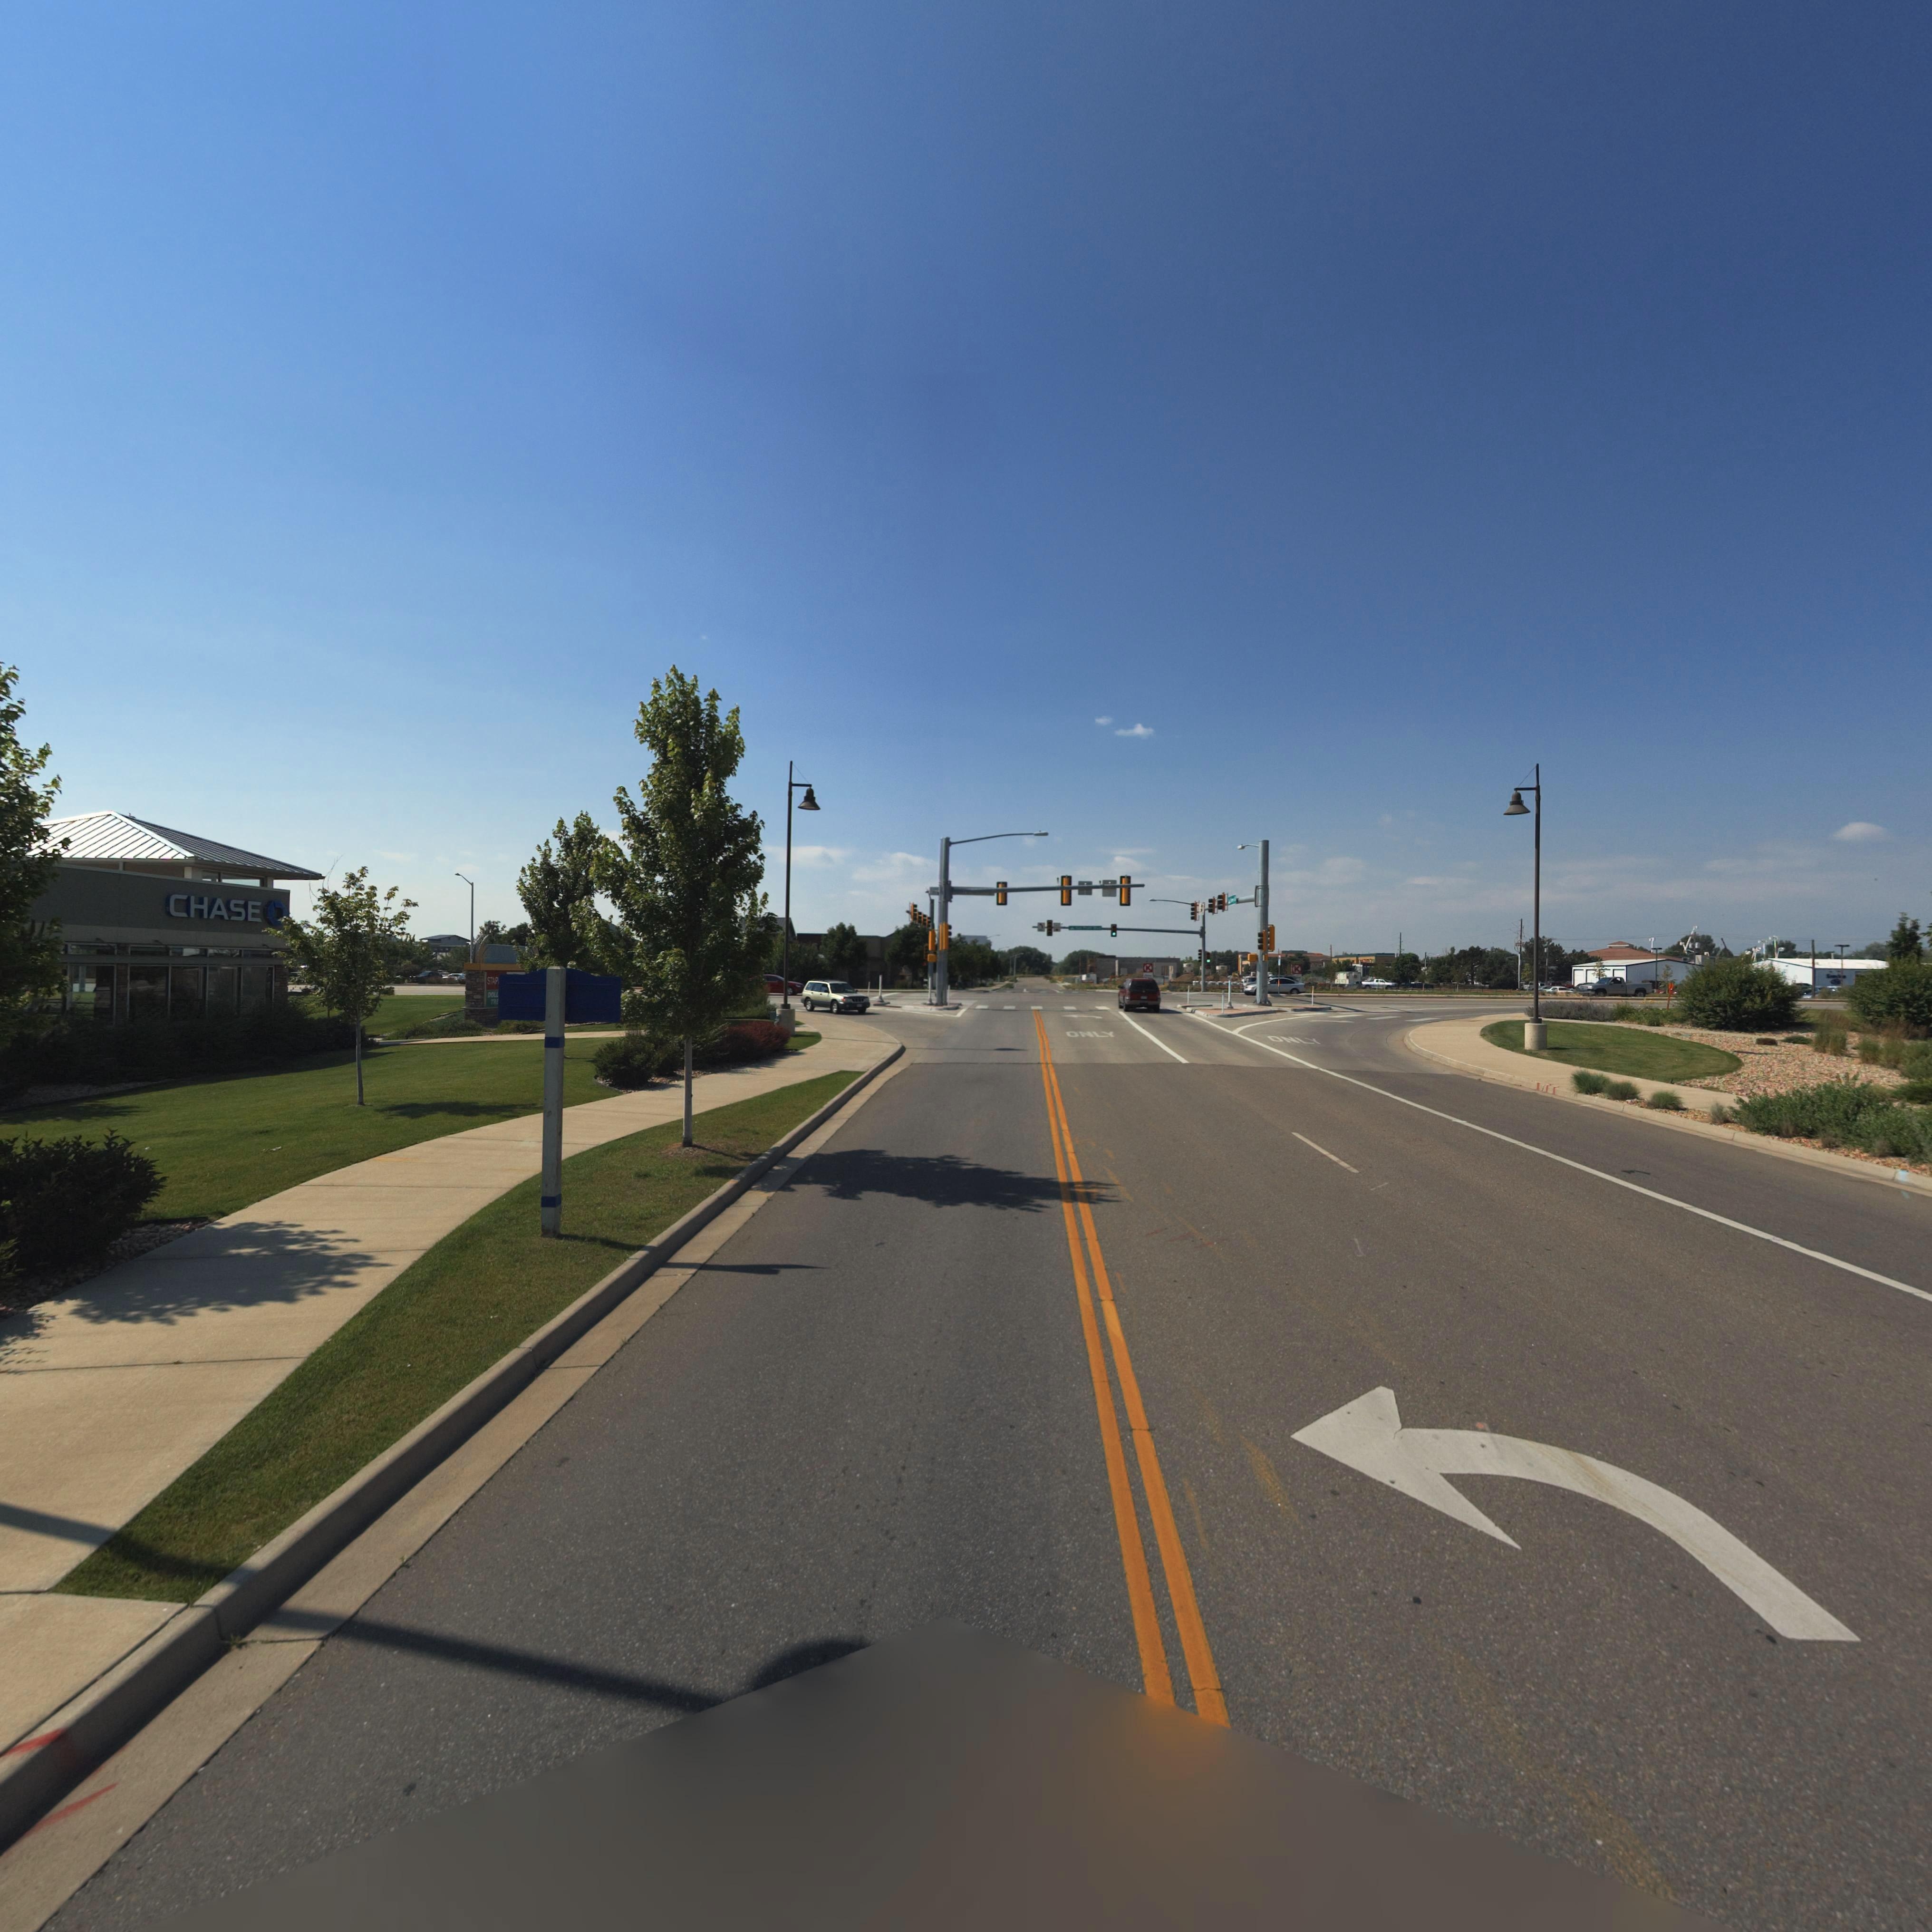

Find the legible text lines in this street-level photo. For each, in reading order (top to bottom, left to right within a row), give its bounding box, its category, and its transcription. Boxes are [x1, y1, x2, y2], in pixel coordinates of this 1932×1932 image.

[170, 894, 261, 921] BusinessName: CHASE
[487, 976, 498, 985] BusinessName: STAP
[487, 992, 498, 997] BusinessName: DOLL
[491, 999, 498, 1005] BusinessName: TRE